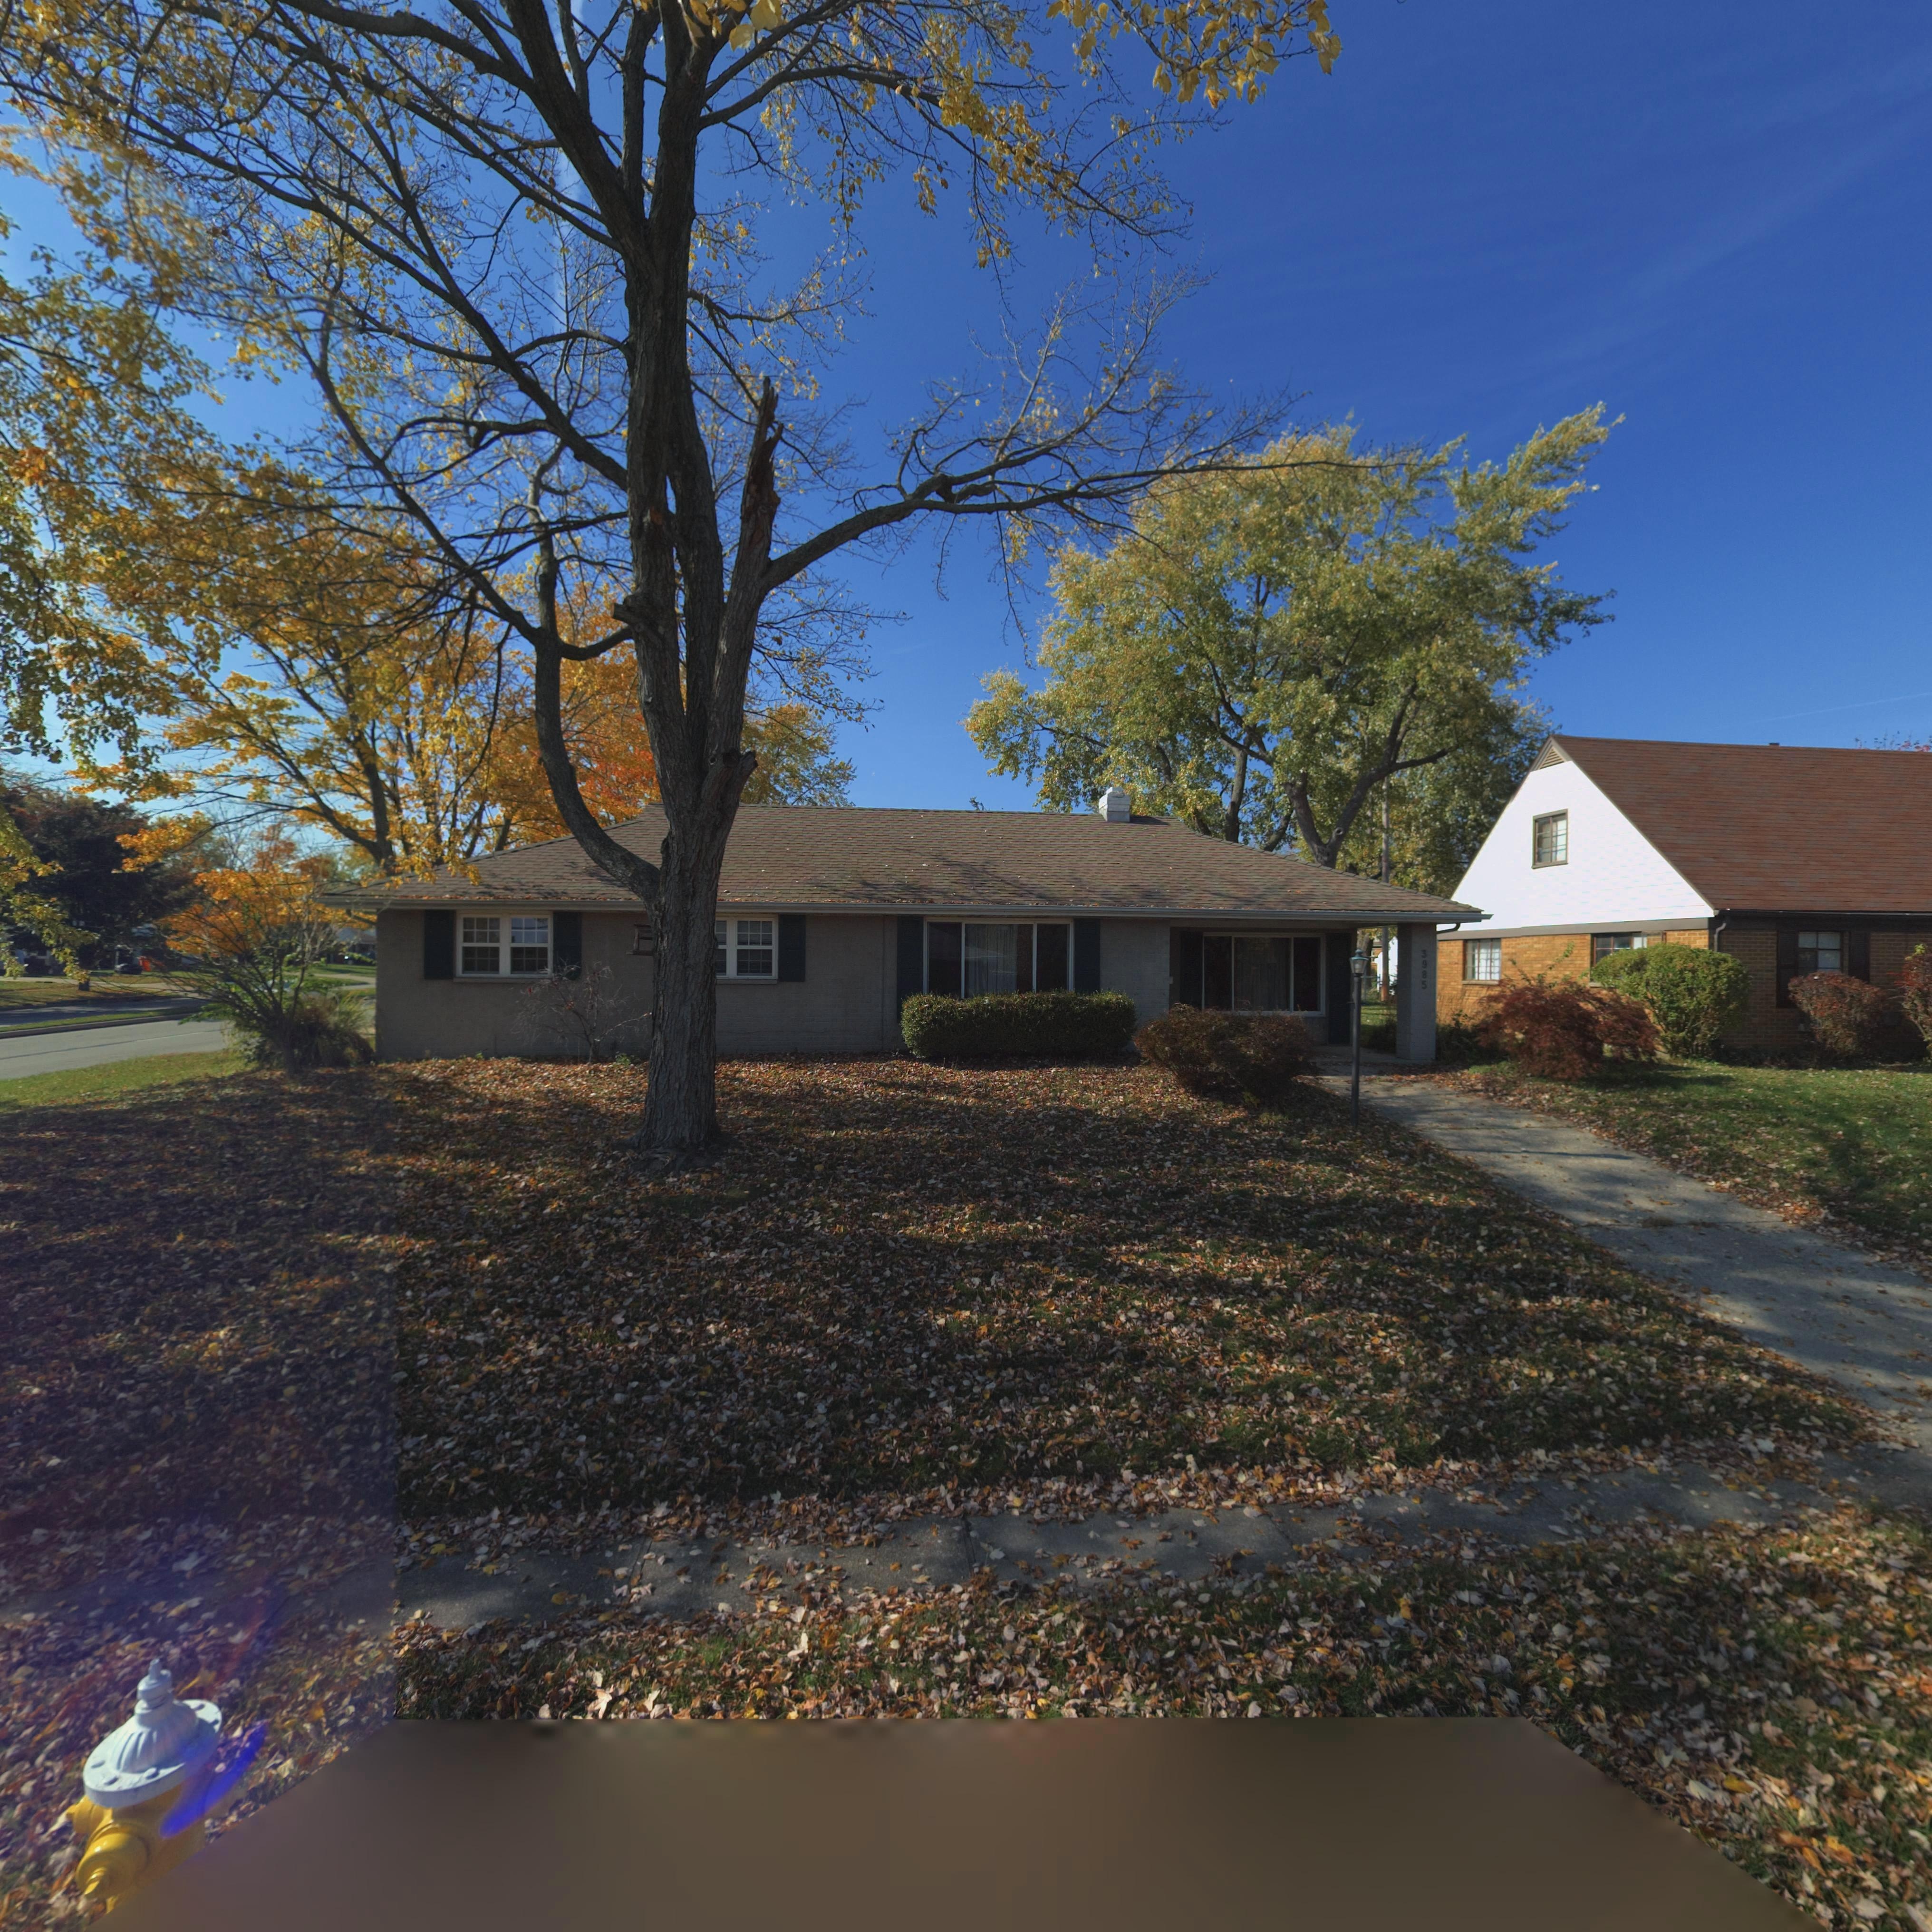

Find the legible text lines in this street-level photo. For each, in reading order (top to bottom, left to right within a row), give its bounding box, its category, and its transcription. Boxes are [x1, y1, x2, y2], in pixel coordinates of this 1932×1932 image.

[1420, 948, 1429, 990] StreetNumber: 3958